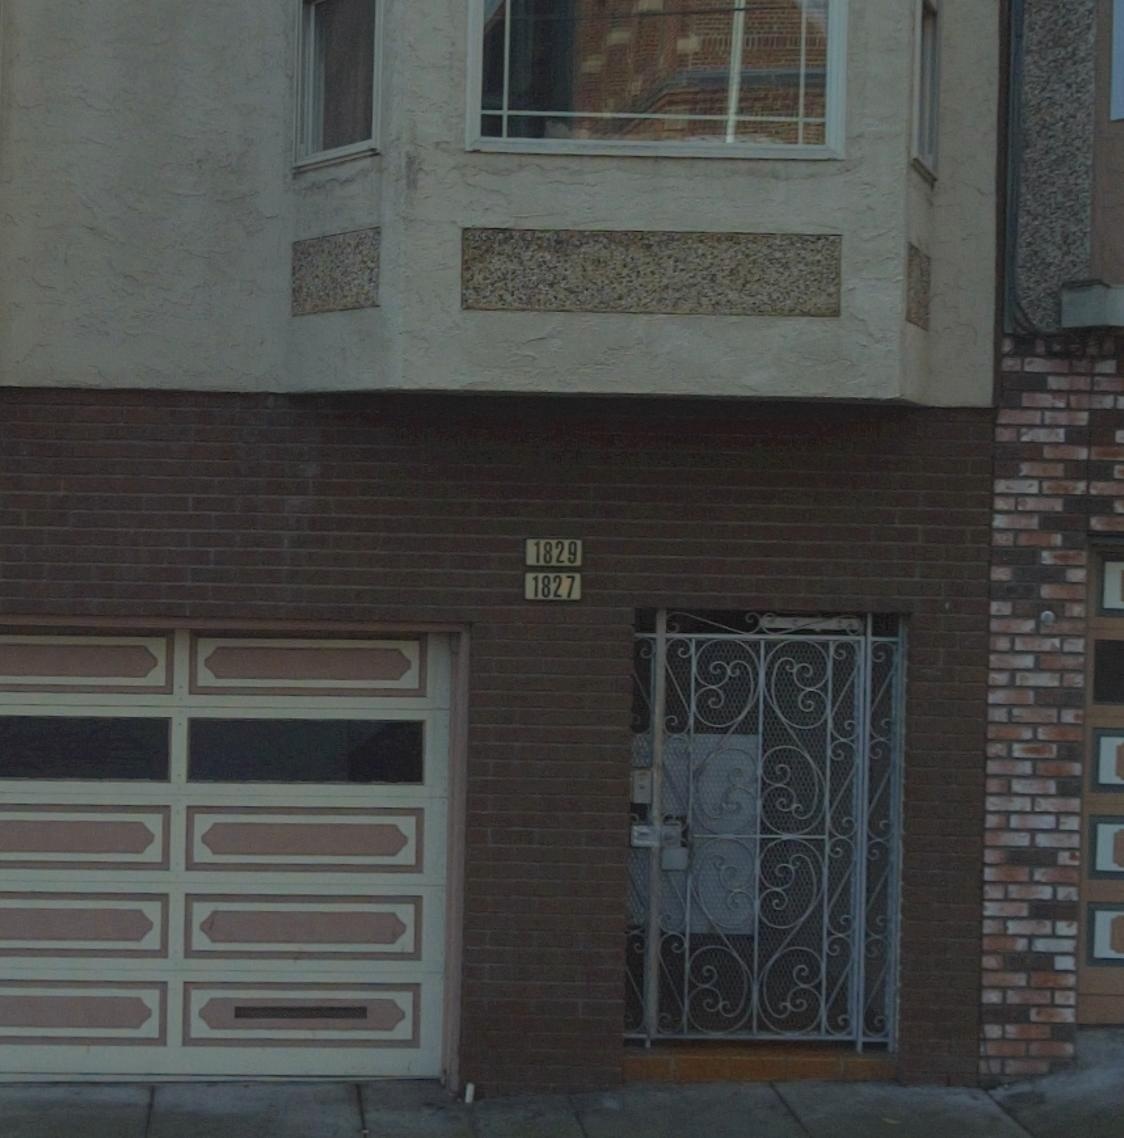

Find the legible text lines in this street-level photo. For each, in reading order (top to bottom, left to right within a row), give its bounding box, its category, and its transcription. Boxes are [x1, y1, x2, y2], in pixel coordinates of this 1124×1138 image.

[531, 538, 581, 567] StreetNumber: 1829
[530, 573, 579, 601] StreetNumber: 1827